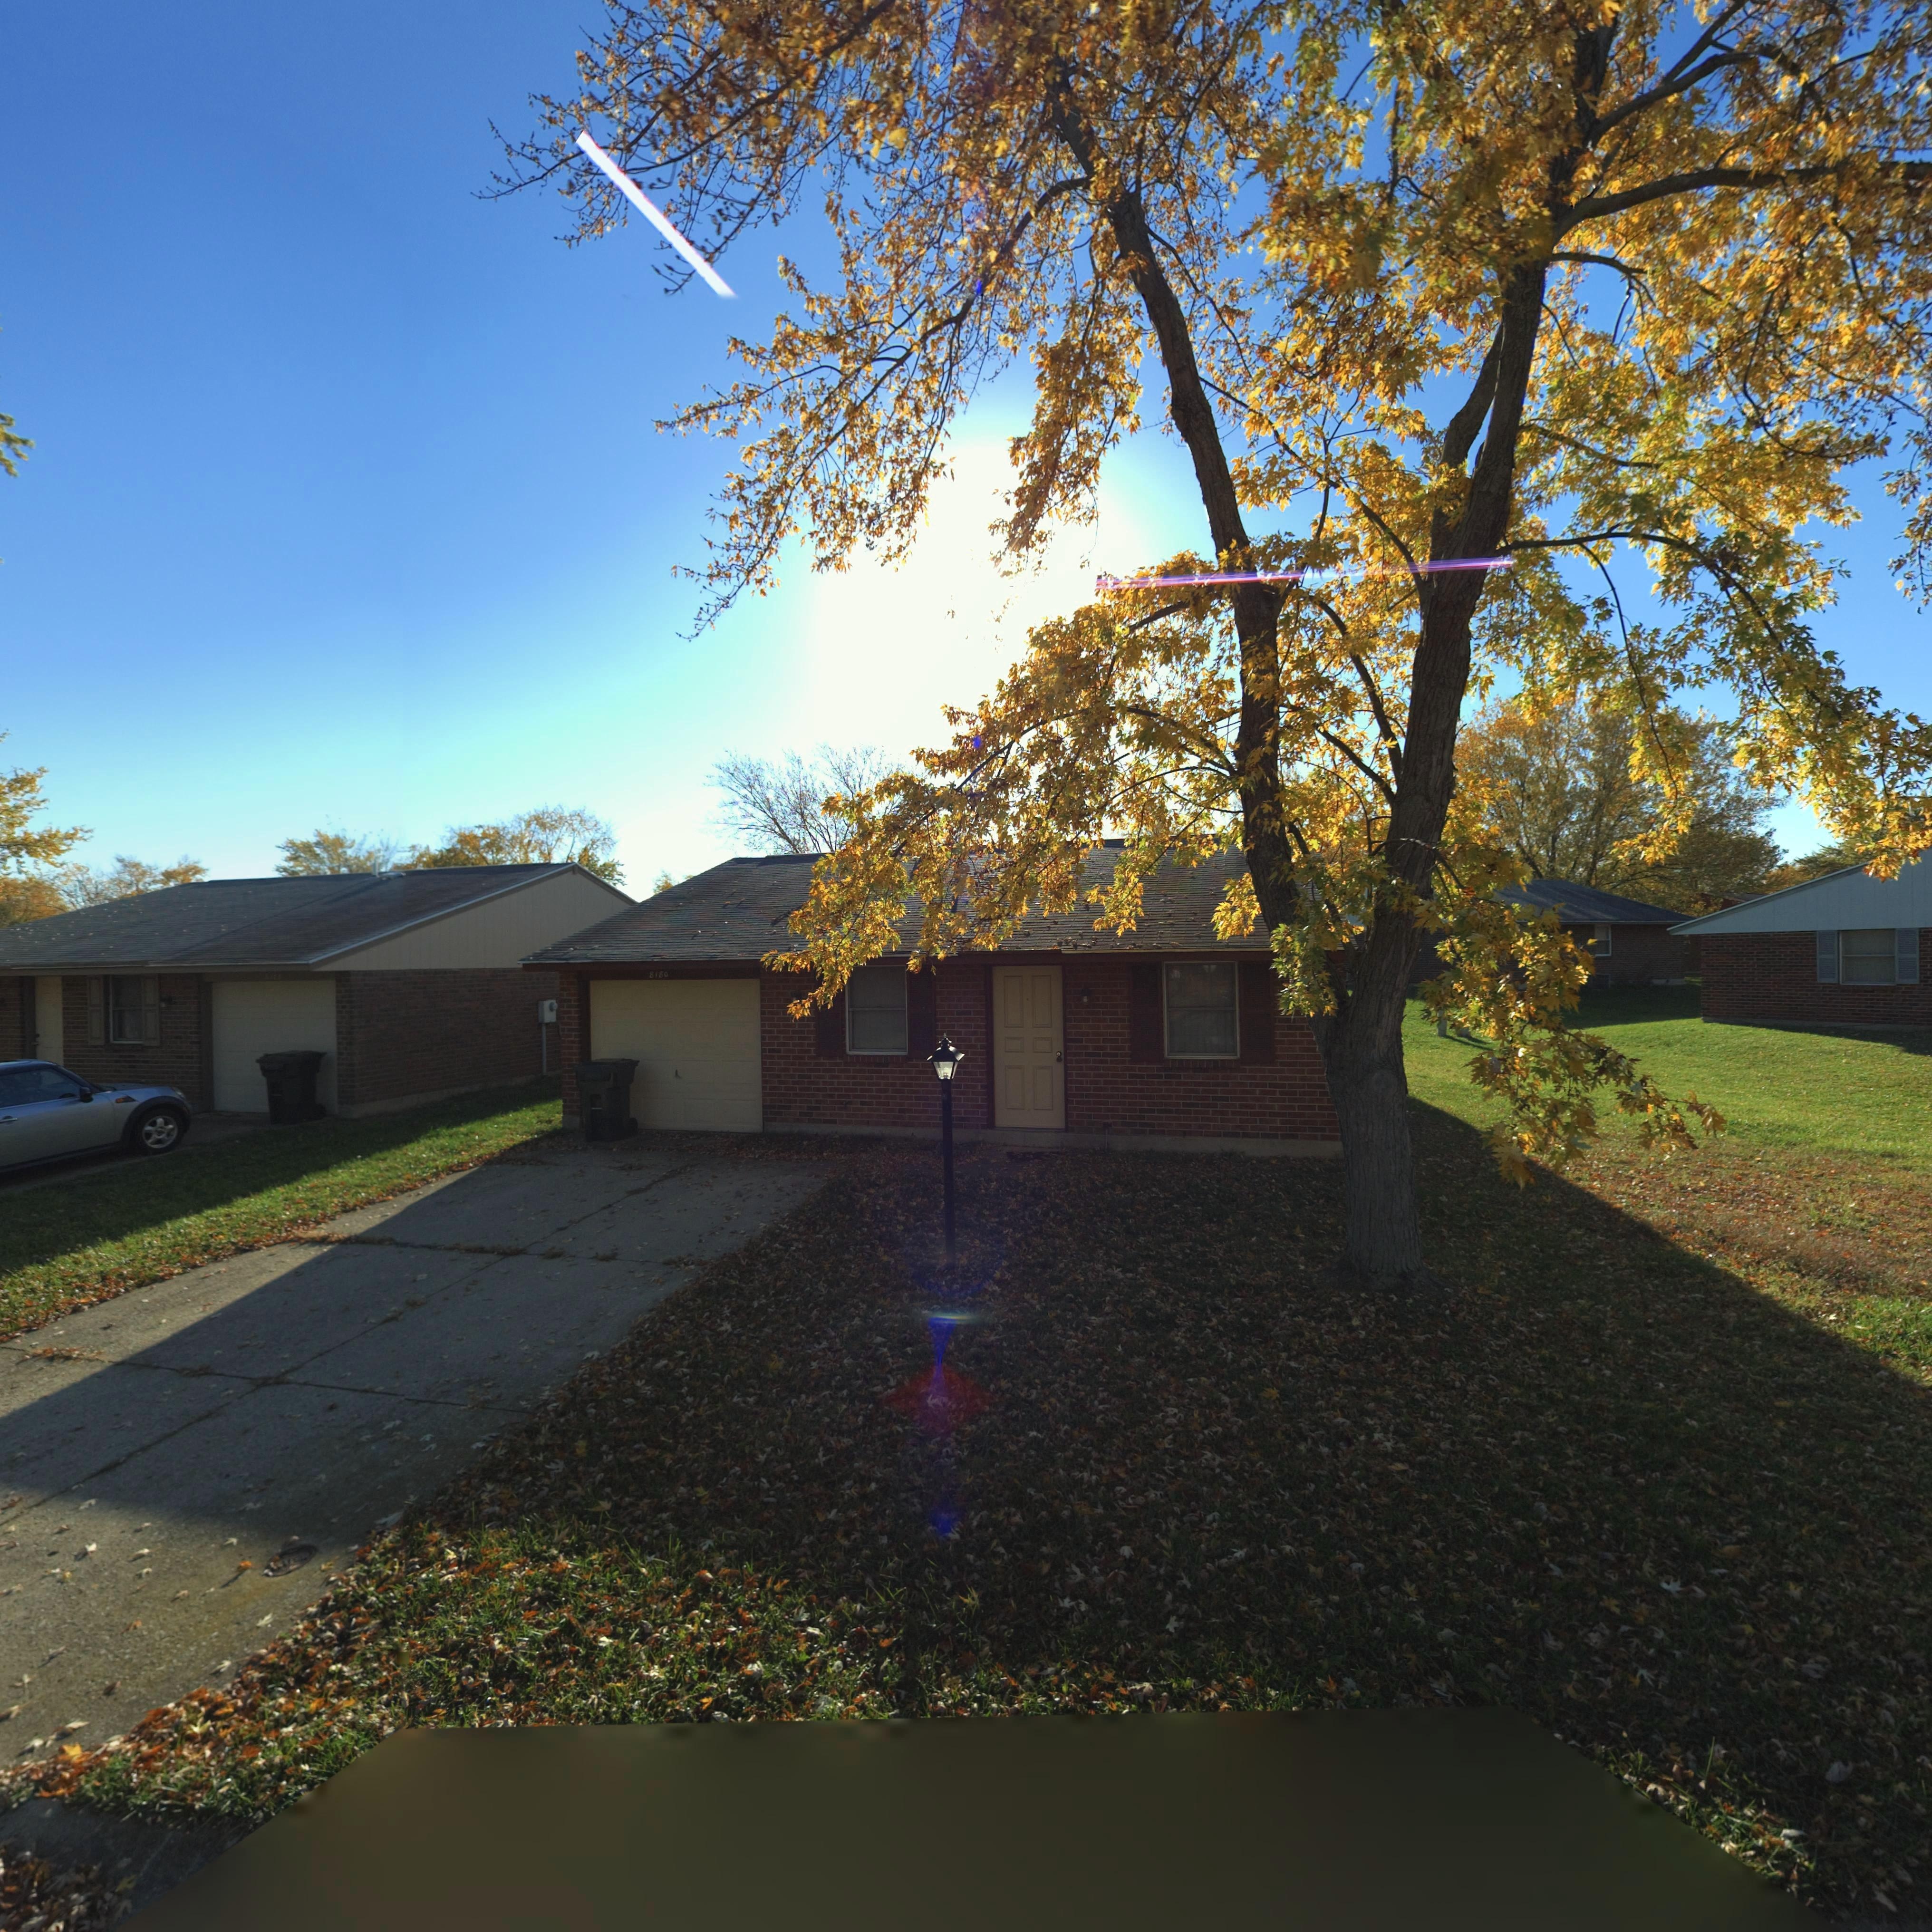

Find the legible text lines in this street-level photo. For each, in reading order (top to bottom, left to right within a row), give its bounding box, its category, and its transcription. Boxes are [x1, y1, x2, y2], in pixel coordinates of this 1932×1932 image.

[264, 972, 282, 979] StreetNumber: 8**8
[648, 970, 669, 978] StreetNumber: 8180